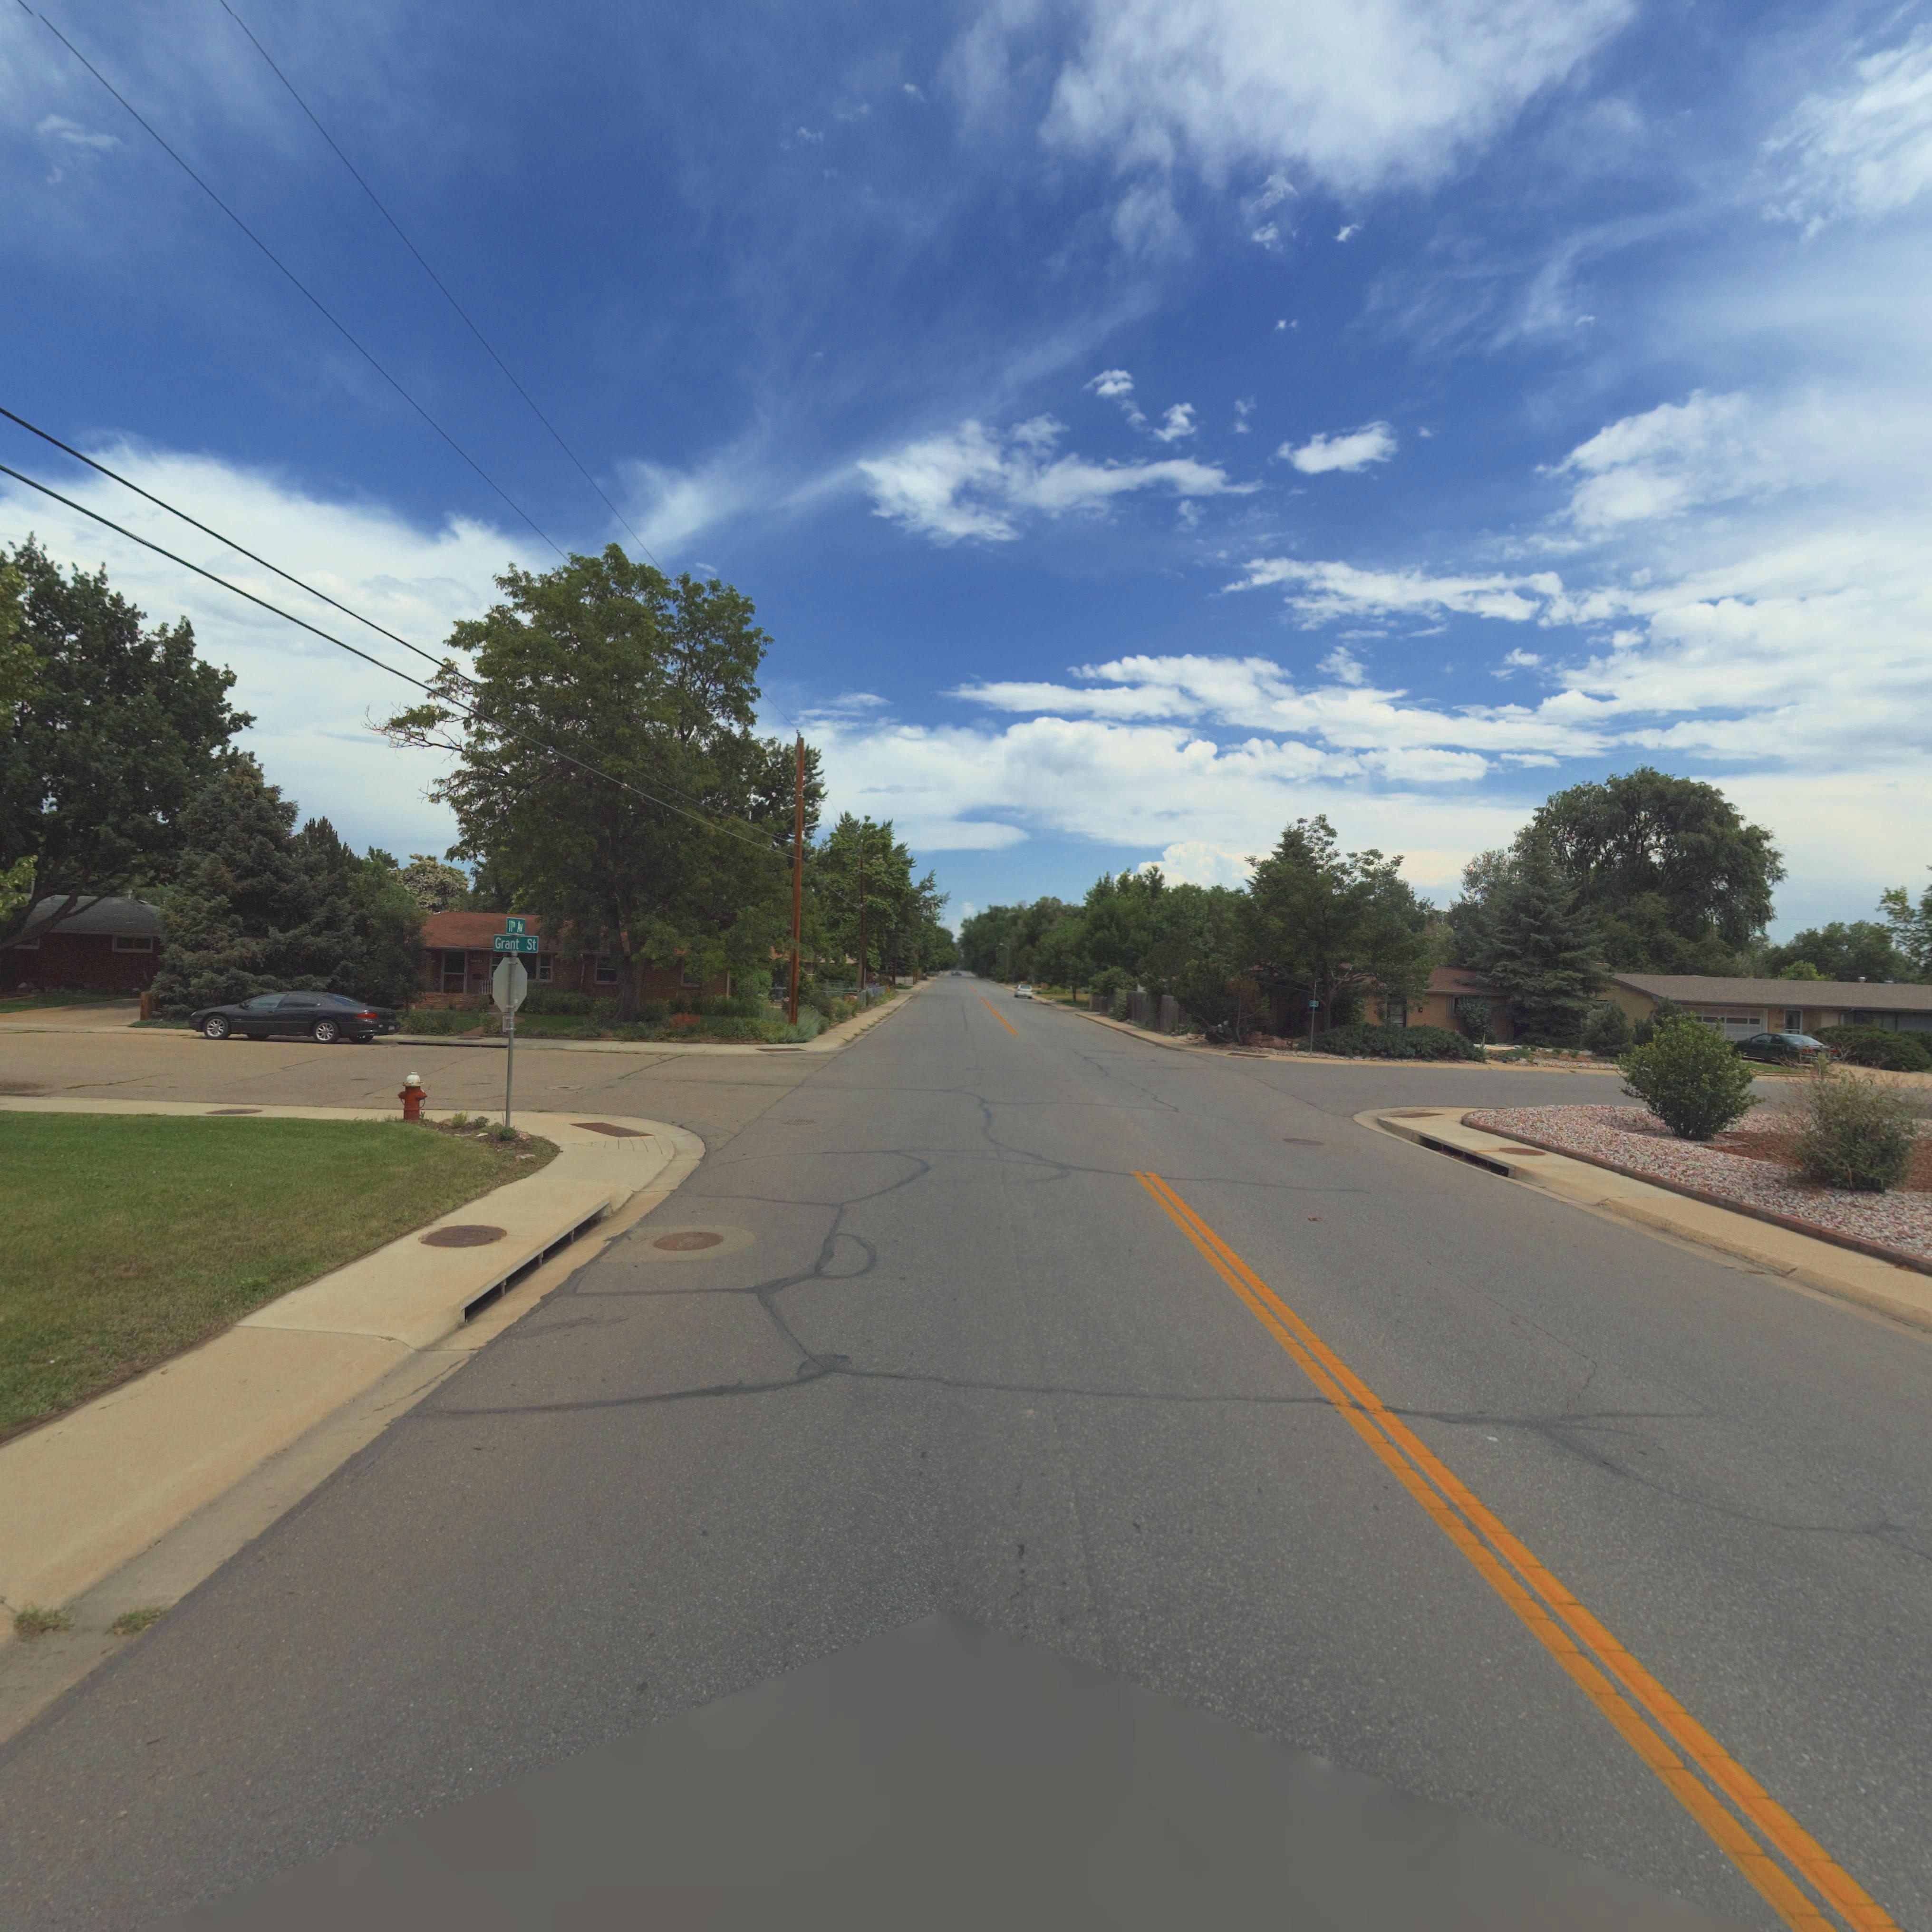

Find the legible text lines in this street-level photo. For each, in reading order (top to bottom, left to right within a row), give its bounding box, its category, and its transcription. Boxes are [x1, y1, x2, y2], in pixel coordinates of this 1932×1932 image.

[508, 919, 523, 933] StreetName: 11*h Av
[494, 937, 537, 951] StreetName: Grant St